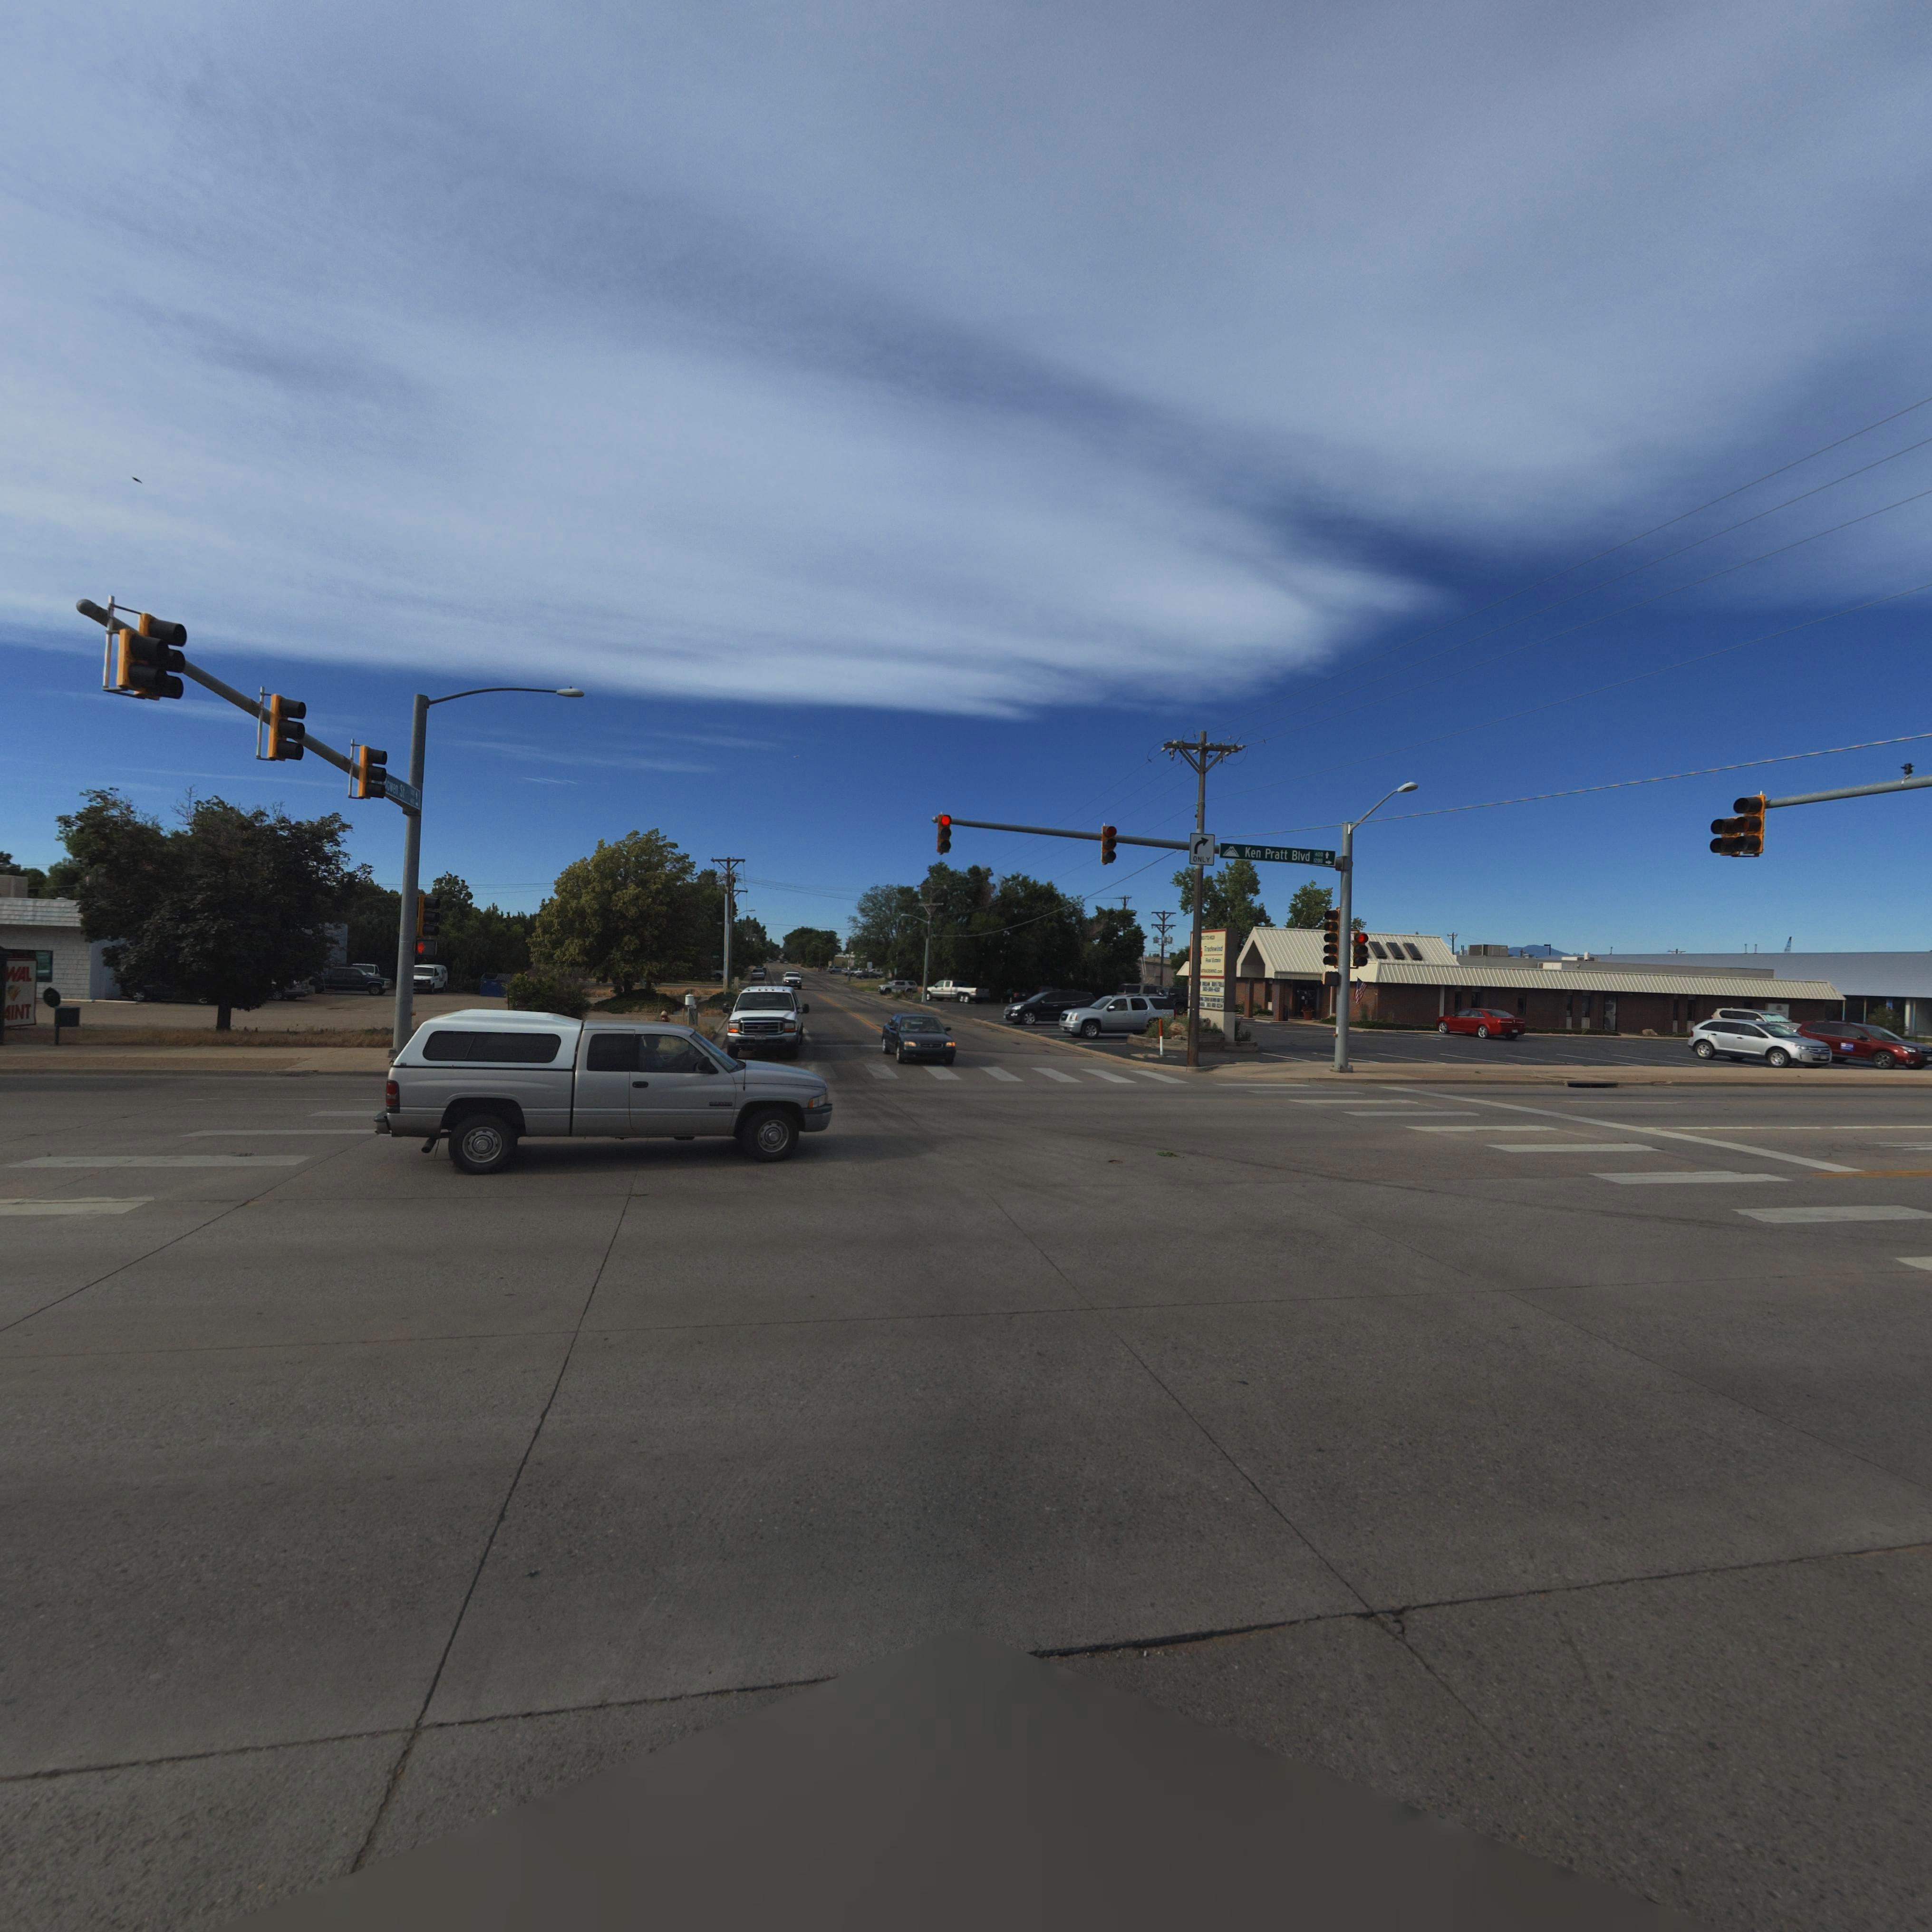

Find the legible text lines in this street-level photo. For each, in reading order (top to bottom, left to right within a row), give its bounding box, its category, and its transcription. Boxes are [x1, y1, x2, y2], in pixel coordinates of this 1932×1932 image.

[382, 776, 406, 799] StreetName: *owen St
[1245, 846, 1311, 861] StreetName: Ken Pratt Blvd
[1314, 851, 1323, 857] StreetName: **0
[1313, 857, 1332, 864] StreetNumberRange: 1200->
[1203, 945, 1223, 952] BusinessName: Trade*i*d
[1205, 957, 1221, 962] BusinessName: R*** E*****
[5, 966, 32, 982] BusinessName: WAL
[3, 1003, 31, 1021] BusinessName: AINT